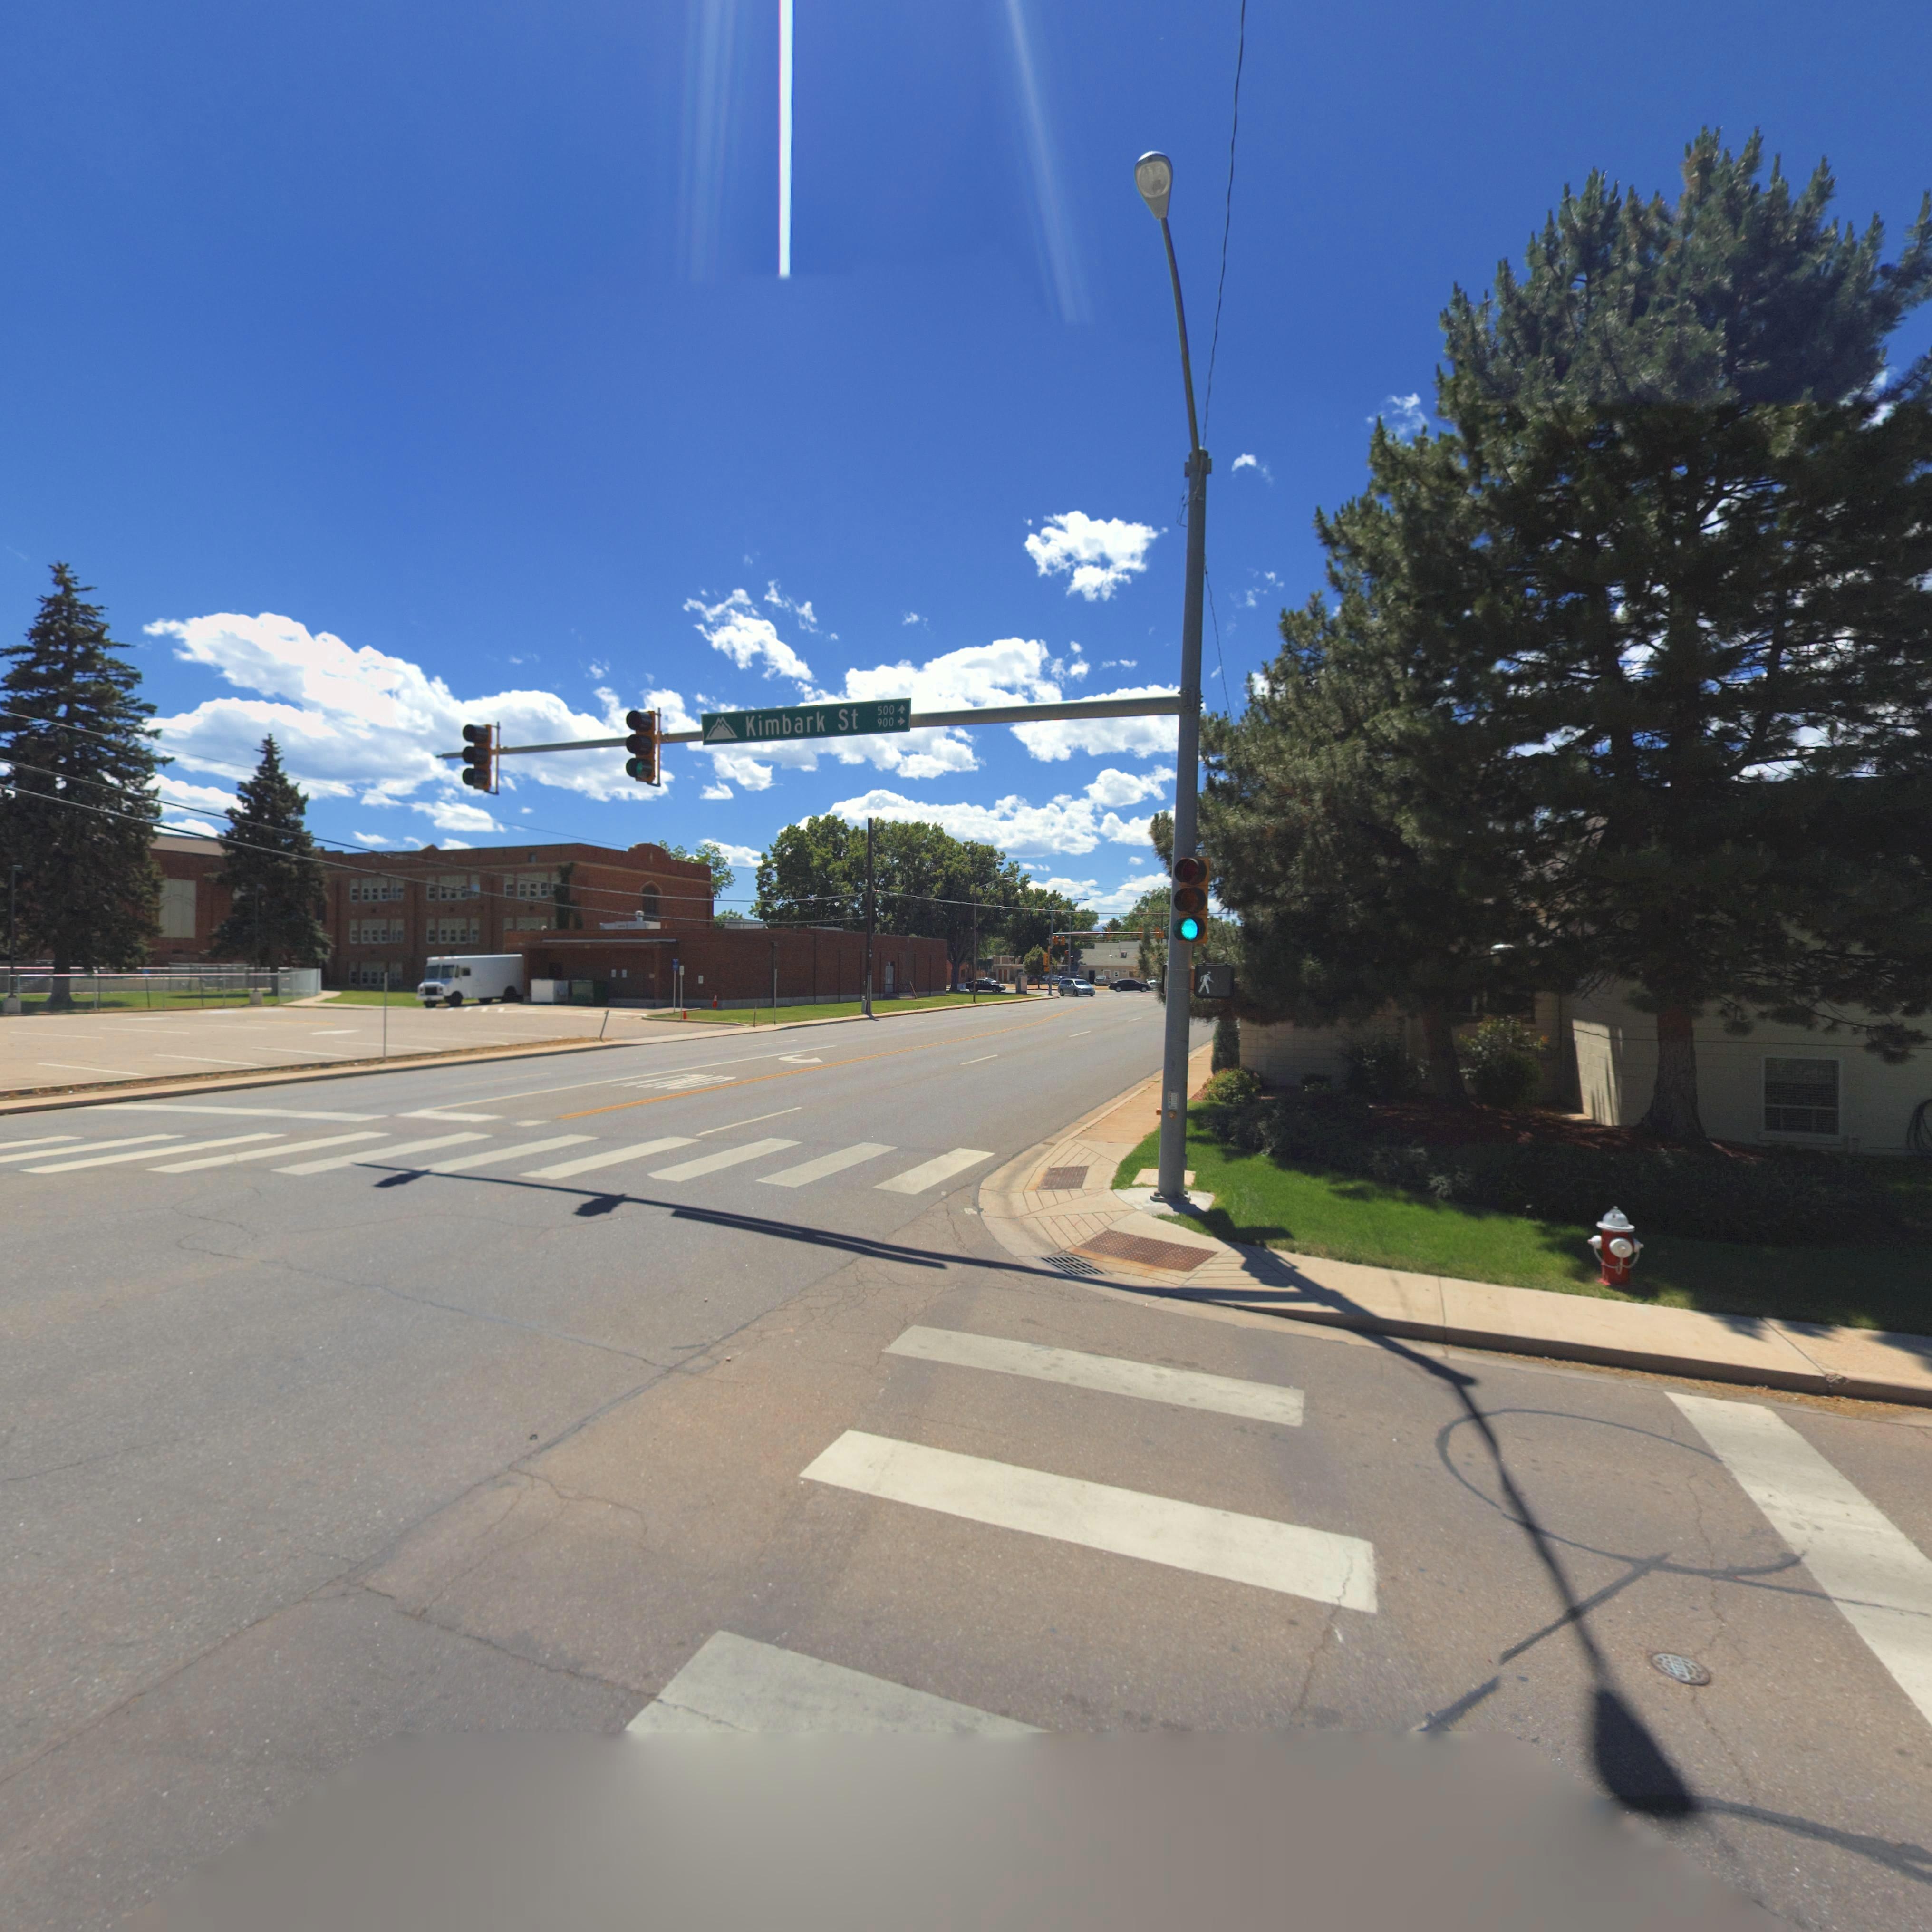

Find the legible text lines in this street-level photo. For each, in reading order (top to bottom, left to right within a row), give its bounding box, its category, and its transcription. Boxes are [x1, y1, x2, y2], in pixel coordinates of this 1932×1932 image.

[877, 705, 895, 716] StreetNumberRange: 500
[744, 707, 859, 737] StreetName: Kimbark St
[876, 716, 907, 728] StreetNumberRange: 900->